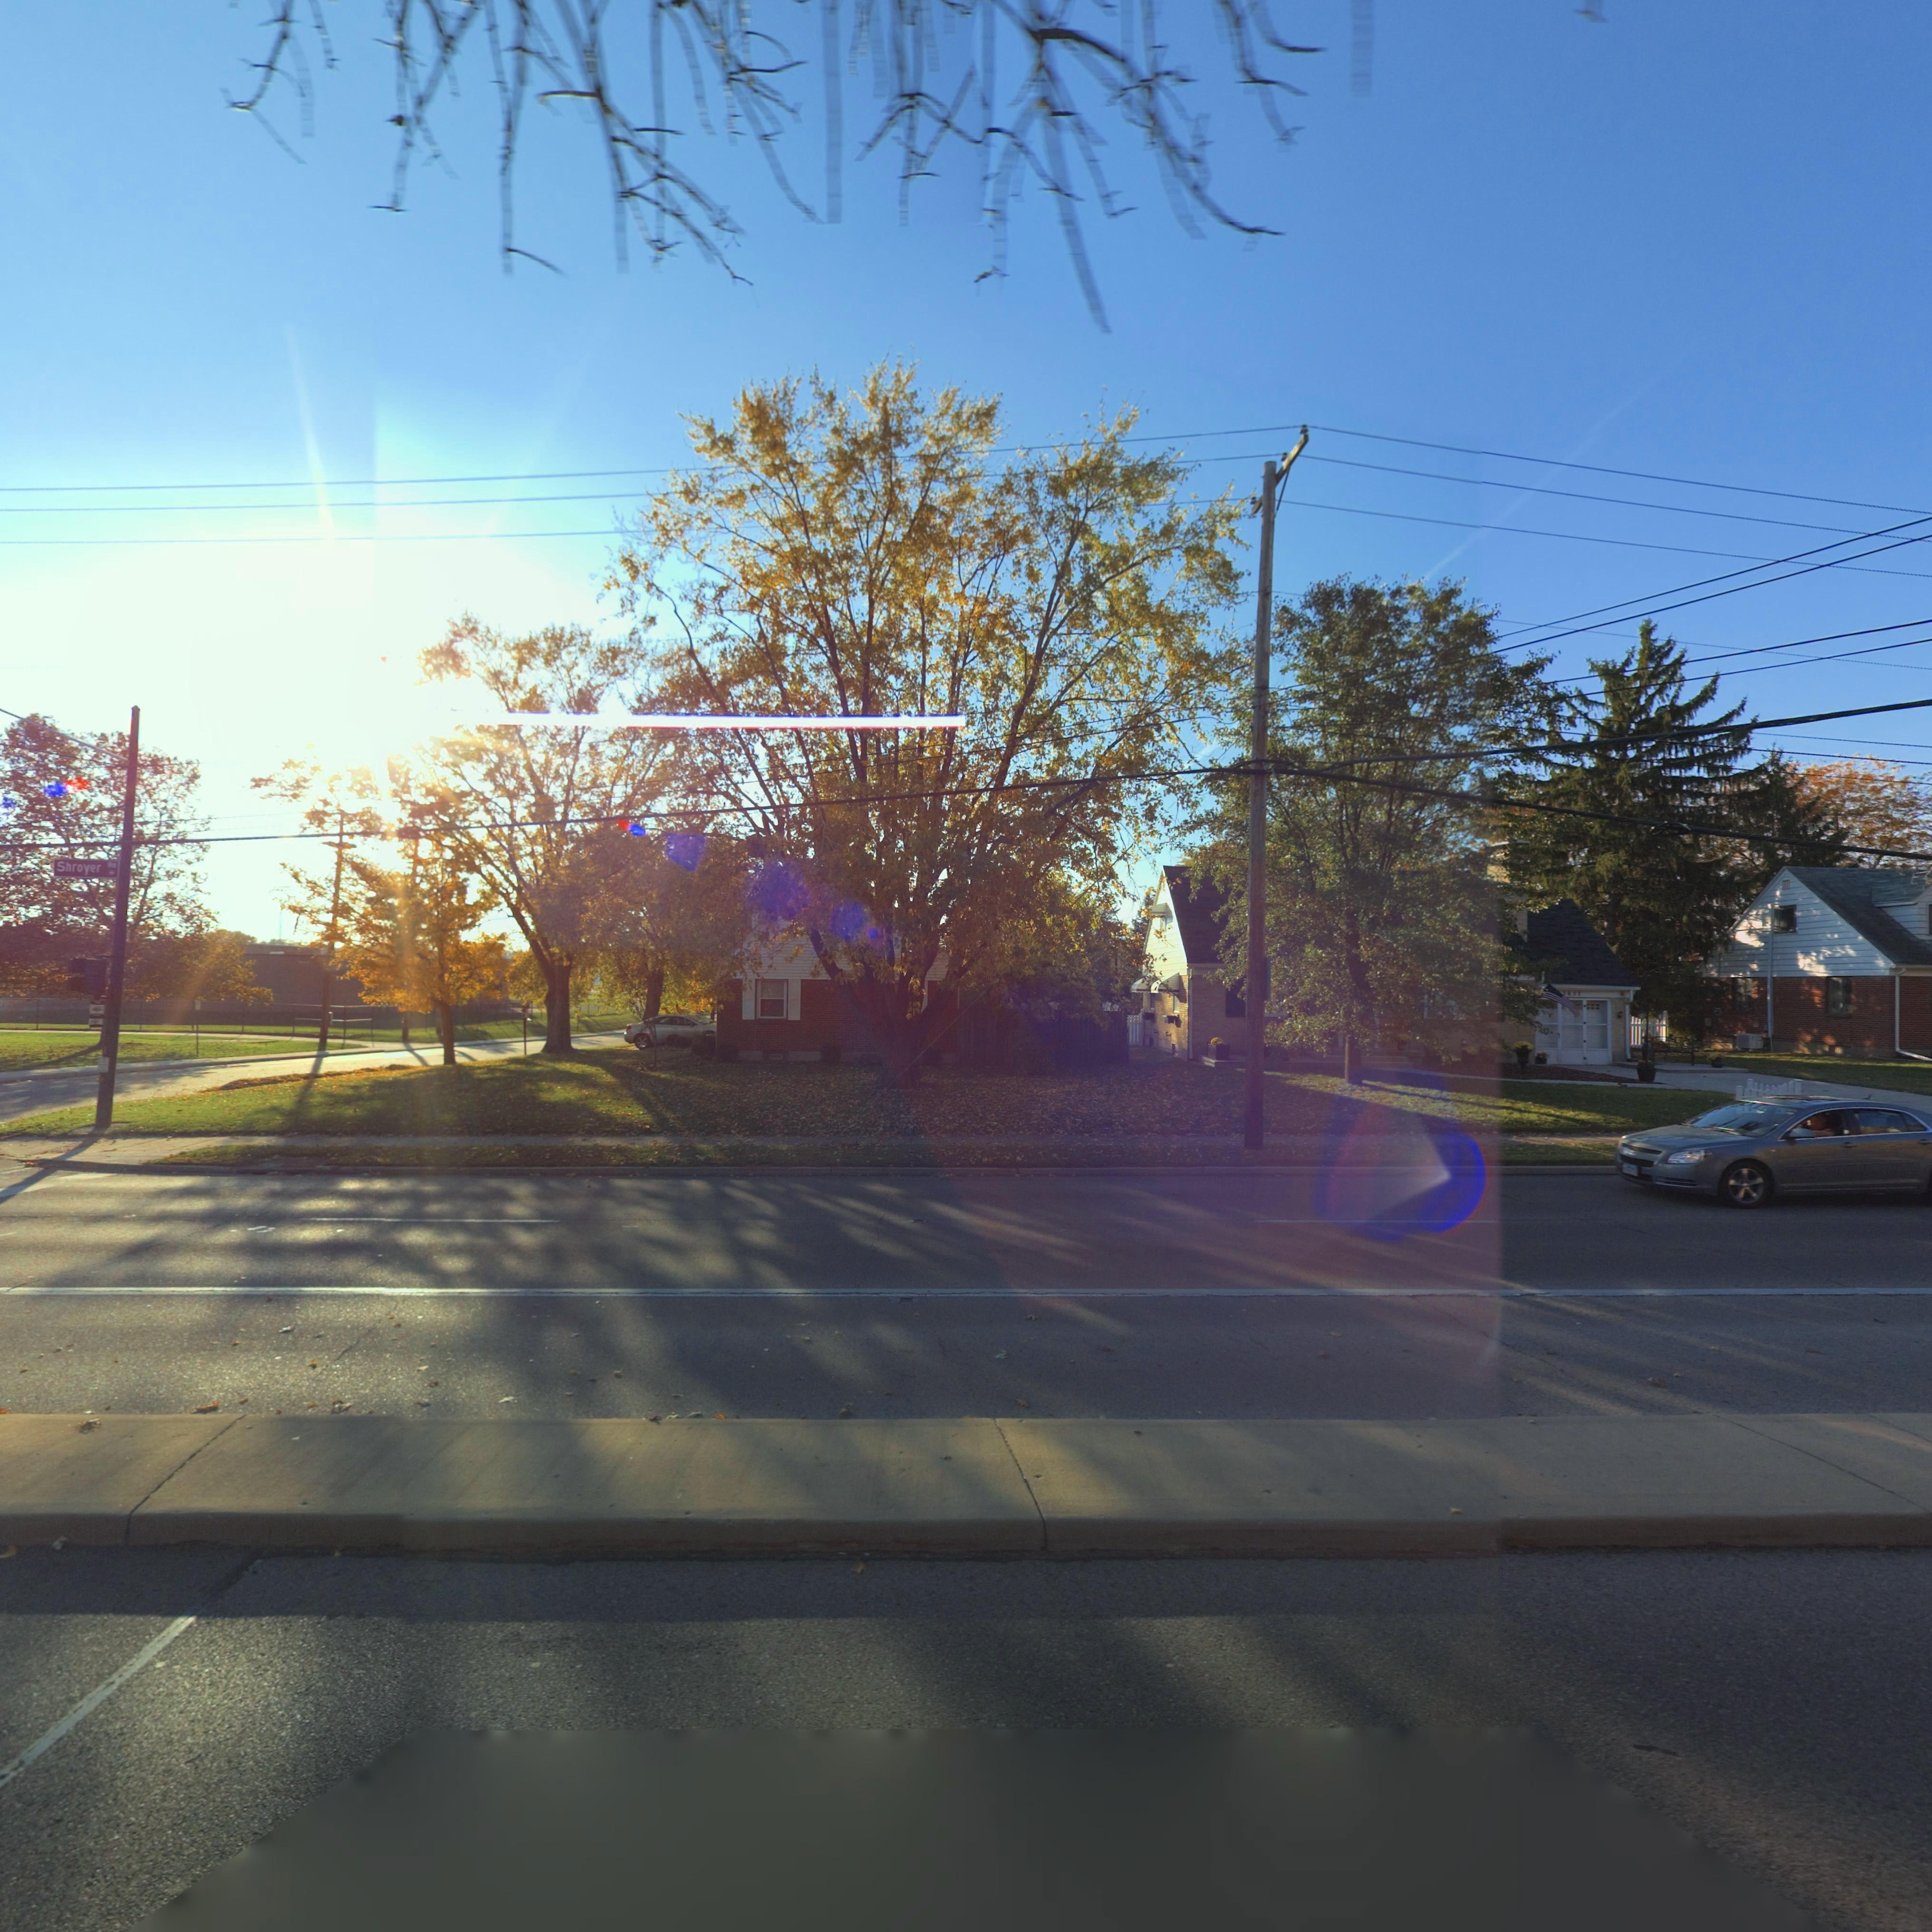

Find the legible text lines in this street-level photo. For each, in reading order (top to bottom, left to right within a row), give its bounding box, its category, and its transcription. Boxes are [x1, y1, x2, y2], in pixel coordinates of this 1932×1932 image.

[55, 860, 117, 876] StreetName: Shroyer Rd
[1561, 990, 1581, 996] StreetNumber: 3657